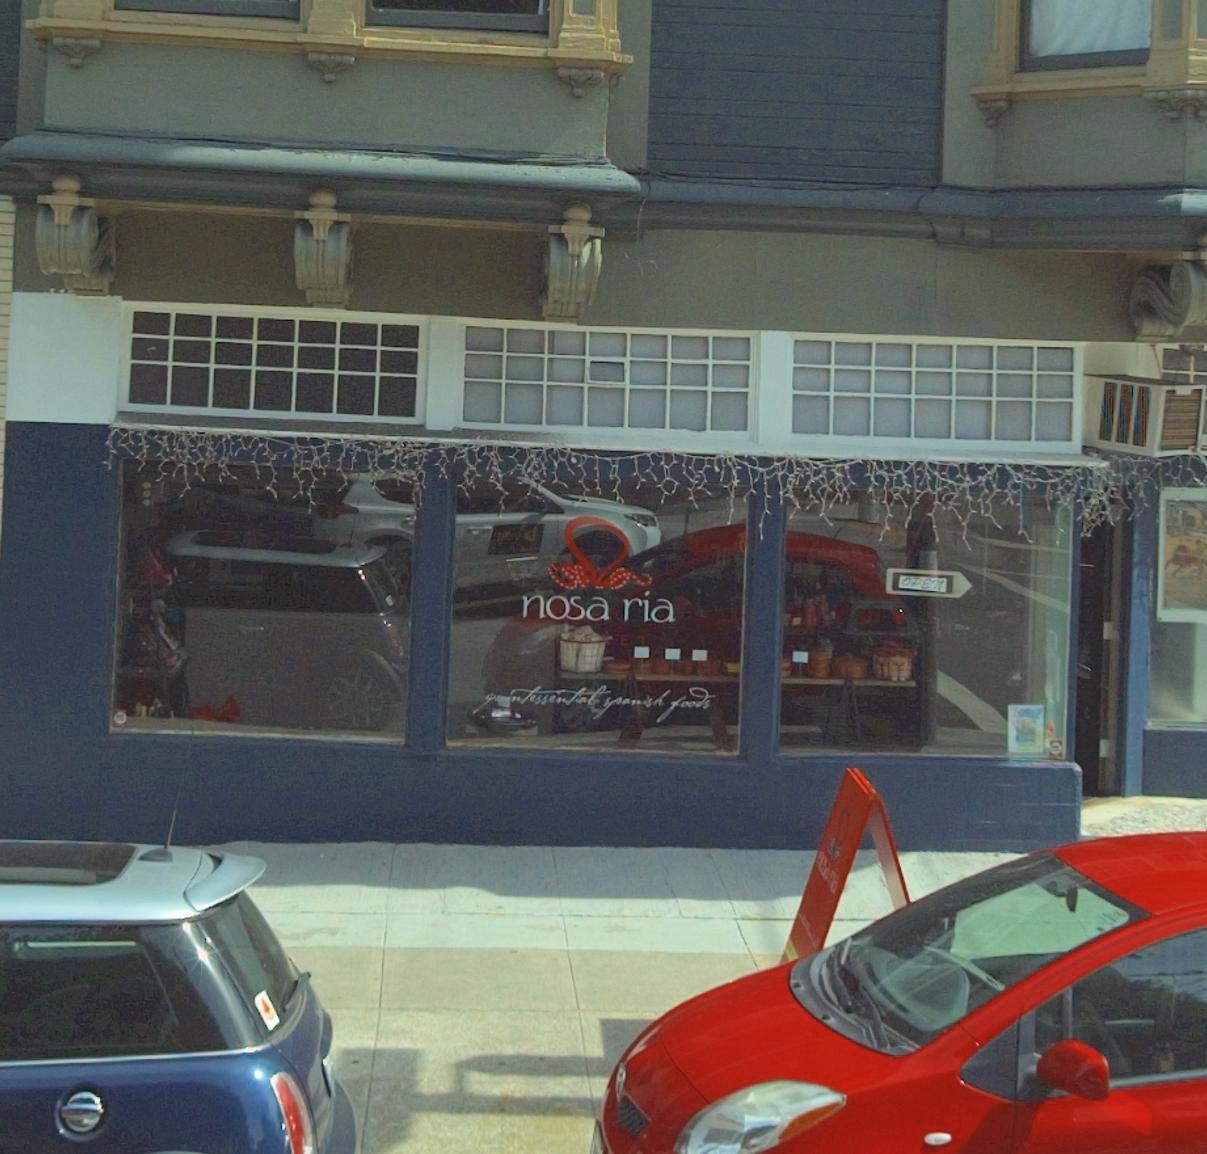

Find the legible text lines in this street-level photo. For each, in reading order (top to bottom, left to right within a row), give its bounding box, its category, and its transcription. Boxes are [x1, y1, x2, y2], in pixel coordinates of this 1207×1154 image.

[899, 576, 948, 594] None: OPEN
[516, 589, 676, 624] BusinessName: nosa ria
[589, 685, 724, 728] None: spanish foods